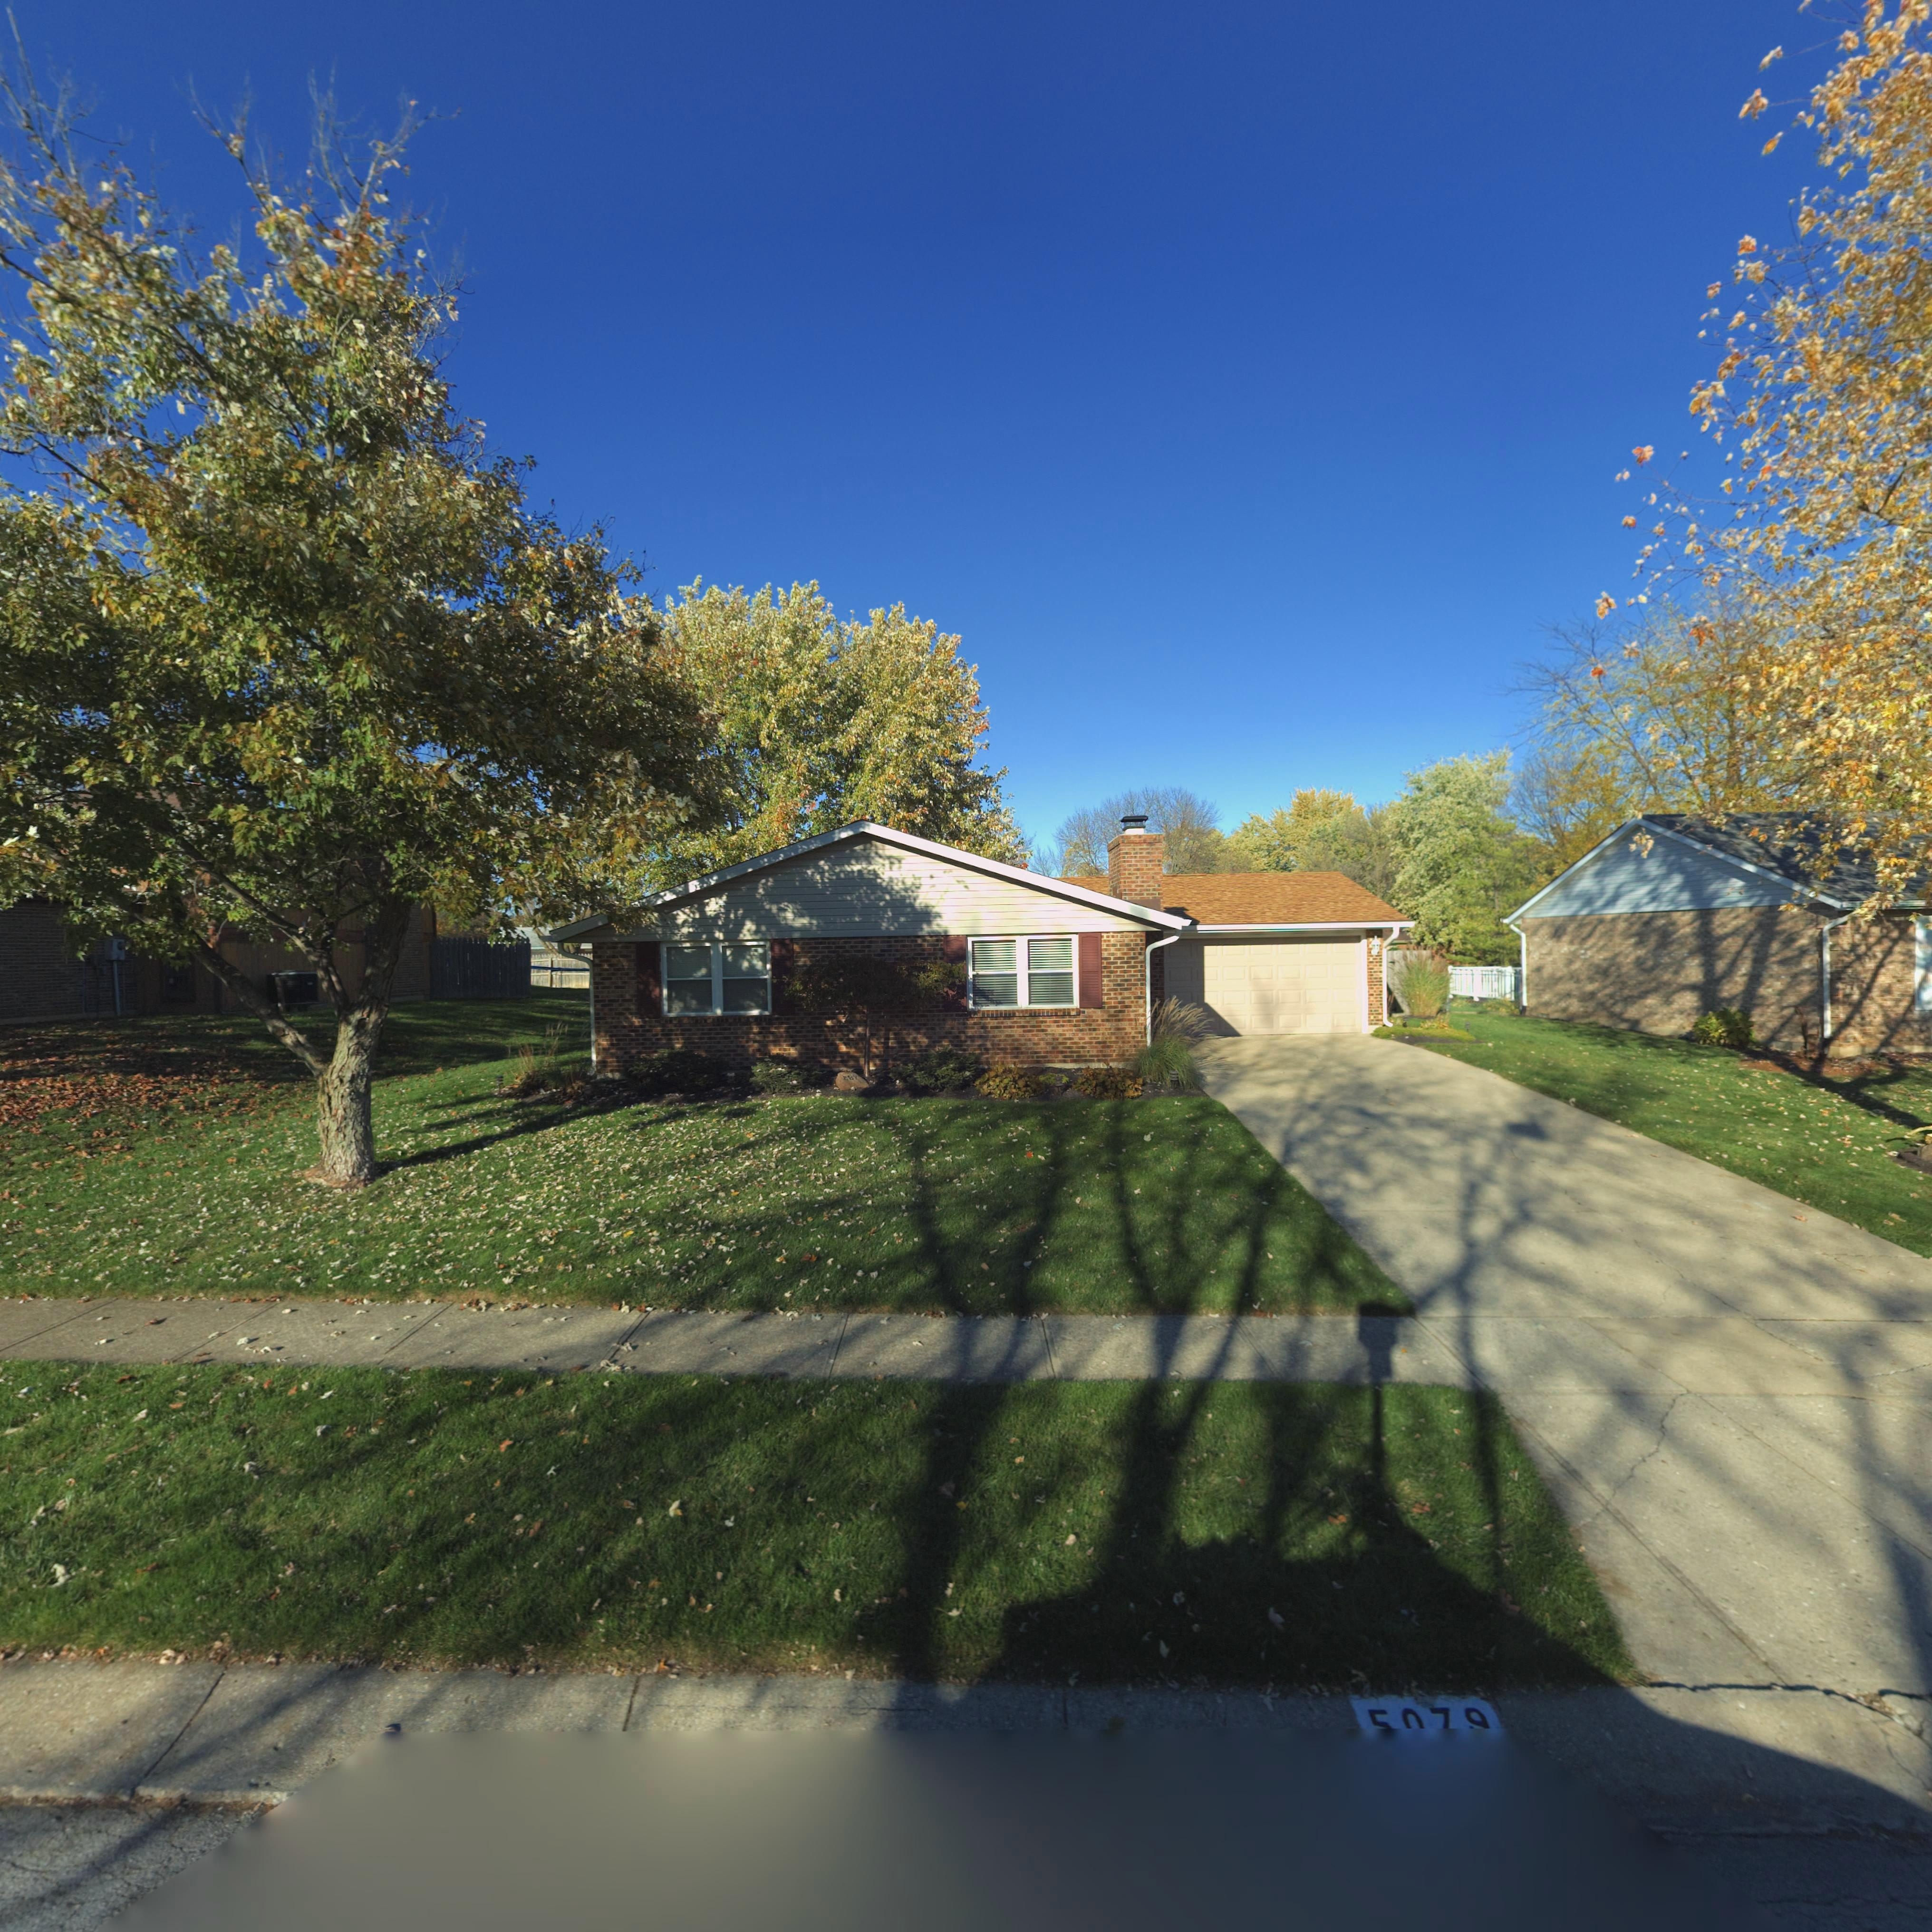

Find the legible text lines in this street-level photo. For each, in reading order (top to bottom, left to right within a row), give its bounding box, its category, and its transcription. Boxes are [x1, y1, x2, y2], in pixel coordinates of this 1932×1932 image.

[1365, 1706, 1492, 1730] StreetNumber: **7*